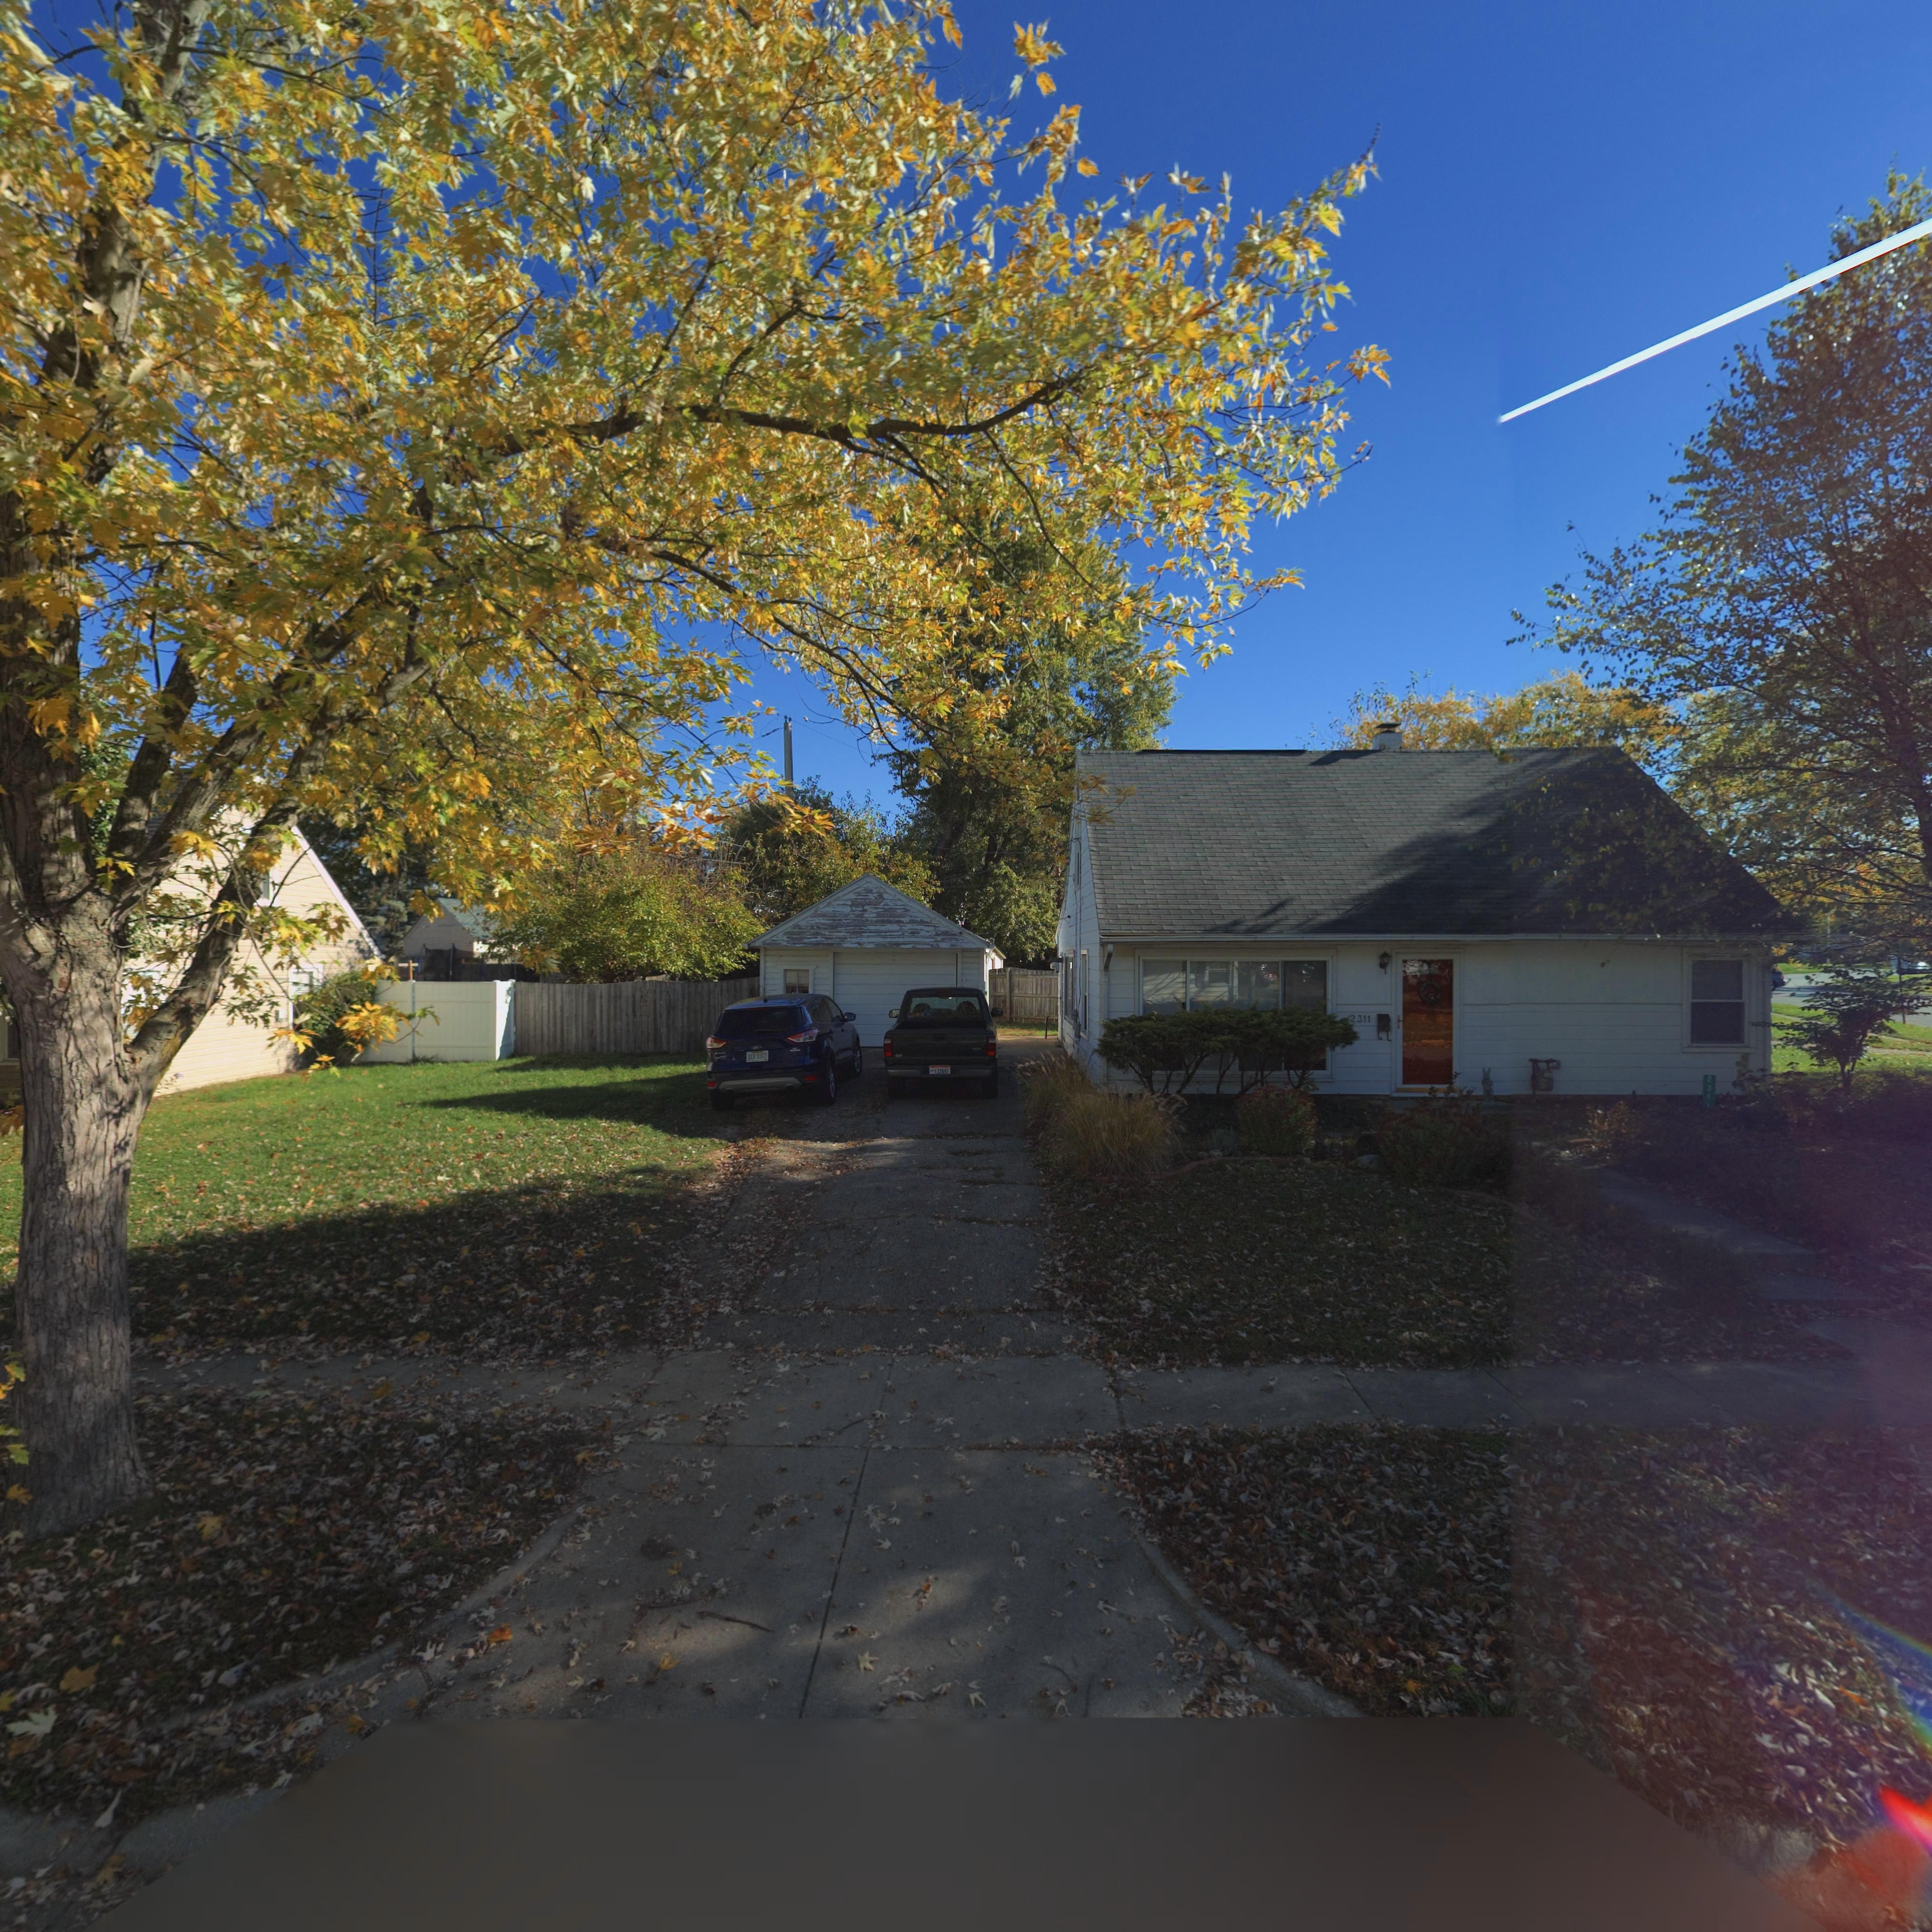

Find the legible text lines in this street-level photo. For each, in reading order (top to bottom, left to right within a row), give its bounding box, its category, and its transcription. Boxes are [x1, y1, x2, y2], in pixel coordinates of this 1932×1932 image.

[1350, 1014, 1371, 1024] StreetNumber: 2311
[1705, 1075, 1713, 1109] StreetNumber: 2311